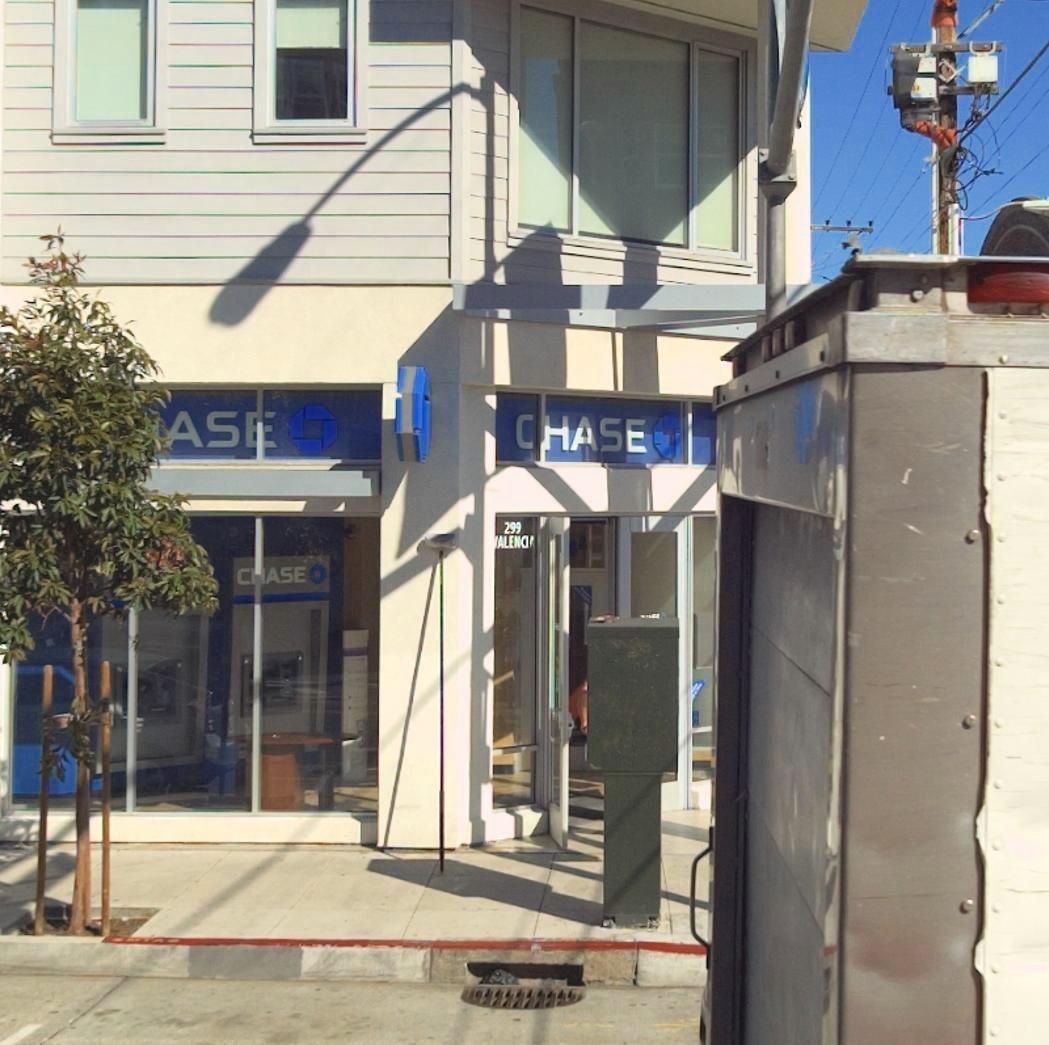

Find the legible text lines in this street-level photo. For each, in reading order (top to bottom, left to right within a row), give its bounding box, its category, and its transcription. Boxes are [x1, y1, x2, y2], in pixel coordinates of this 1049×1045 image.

[158, 409, 241, 451] BusinessName: AS
[514, 411, 650, 454] BusinessName: CHASE
[503, 520, 523, 535] StreetNumber: 299
[495, 533, 536, 550] StreetName: ALENCIA
[235, 565, 308, 586] BusinessName: C*ASE